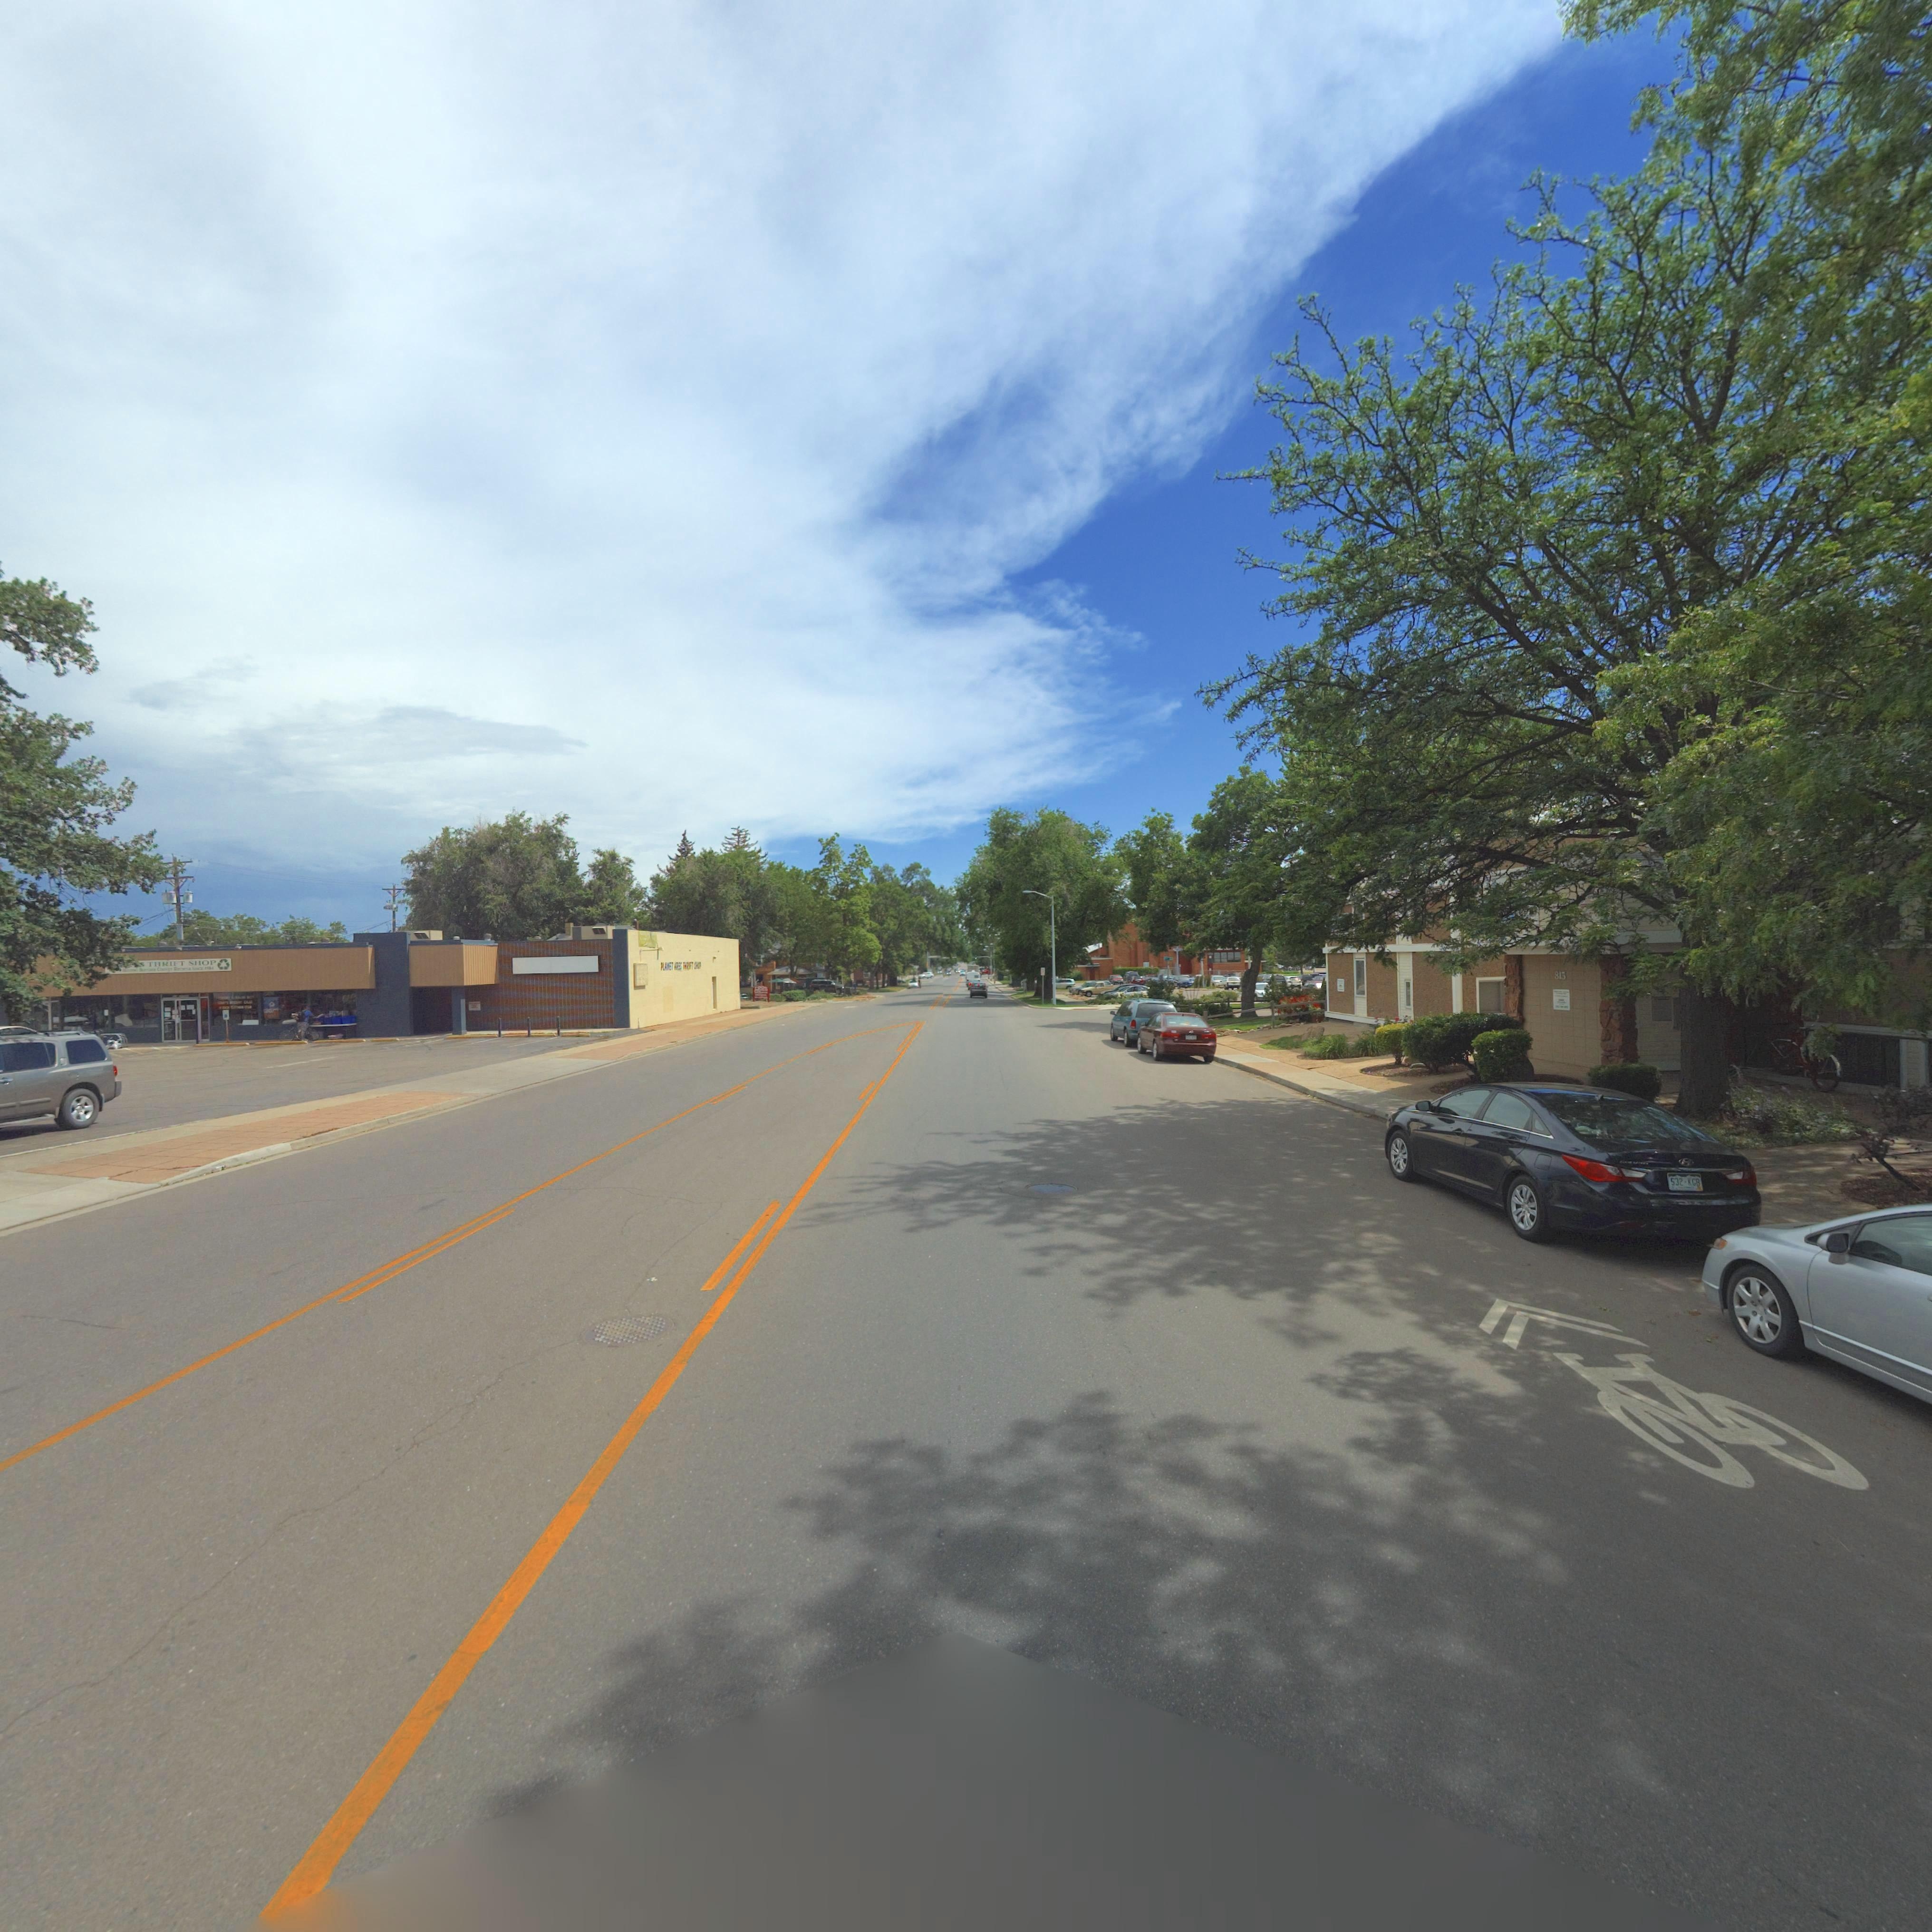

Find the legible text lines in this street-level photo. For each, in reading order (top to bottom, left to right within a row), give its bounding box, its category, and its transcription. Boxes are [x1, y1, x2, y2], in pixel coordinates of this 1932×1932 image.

[138, 960, 216, 967] BusinessName: S THRIFT SHOP
[660, 961, 702, 971] BusinessName: PLANET ARES THRIFT SHOP
[1555, 971, 1566, 980] StreetNumber: 815